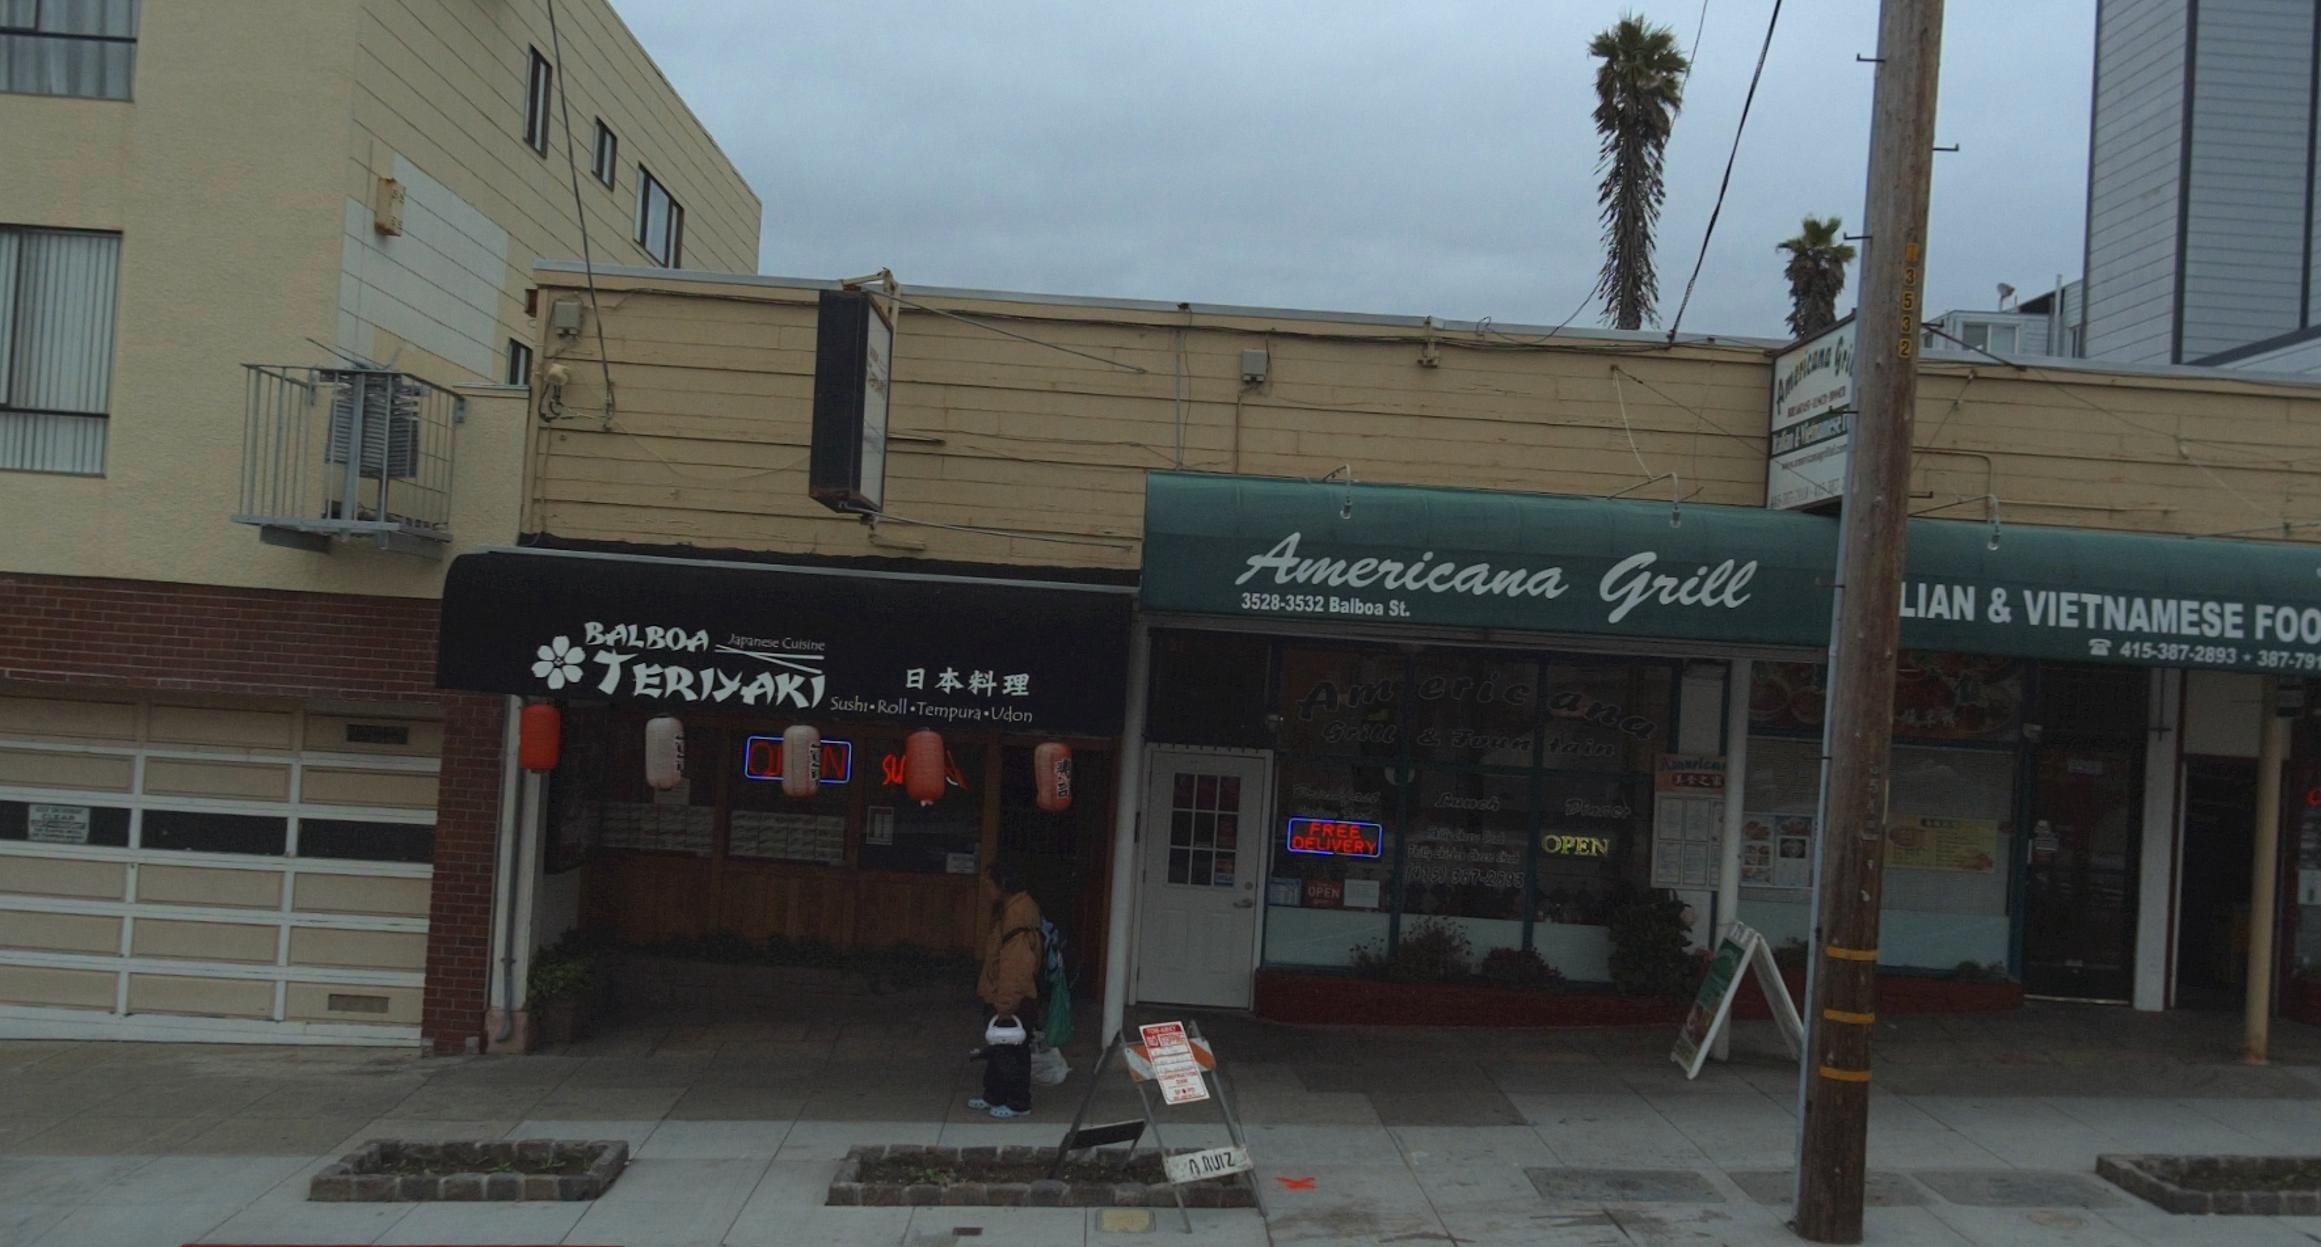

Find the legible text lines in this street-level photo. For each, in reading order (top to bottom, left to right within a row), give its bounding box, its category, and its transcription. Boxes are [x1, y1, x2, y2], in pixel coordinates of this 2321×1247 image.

[1898, 266, 1917, 357] None: 3532
[1774, 333, 1855, 418] BusinessName: Americana gri
[1224, 527, 1763, 627] BusinessName: Americana Grill
[1239, 590, 1326, 615] StreetNumber: 3528-3532
[1327, 594, 1413, 619] StreetName: Balboa St.
[1913, 579, 2301, 645] BusinessName: IAN & VIETNAMESE FO
[582, 619, 712, 656] BusinessName: BALBOA
[724, 632, 827, 653] BusinessName: Japanese Cuisine
[2115, 637, 2319, 672] None: 415-387-2893 * 387-79
[588, 646, 830, 713] BusinessName: TERIYAKI
[827, 693, 1035, 724] None: Sushi*Roll*Tempura*Vdon
[1292, 667, 1665, 747] BusinessName: Americana
[1318, 718, 1621, 761] BusinessName: Grill & Fountain
[746, 738, 776, 779] None: O
[819, 743, 849, 781] None: N
[880, 751, 907, 787] None: SU
[1656, 754, 1723, 773] BusinessName: America
[1289, 780, 1382, 809] None: Breakfast
[1431, 790, 1503, 813] None: Lunch
[1562, 796, 1634, 821] None: Dinner
[1290, 832, 1380, 856] None: DELIVERY
[1308, 820, 1363, 839] None: FREE
[1539, 831, 1612, 859] None: OPEN
[1411, 864, 1527, 890] None: 915*-387-2893
[1306, 885, 1341, 900] None: OPEN
[1143, 1022, 1179, 1037] None: TOW AWAY
[1145, 1030, 1186, 1048] None: NO STOPPING